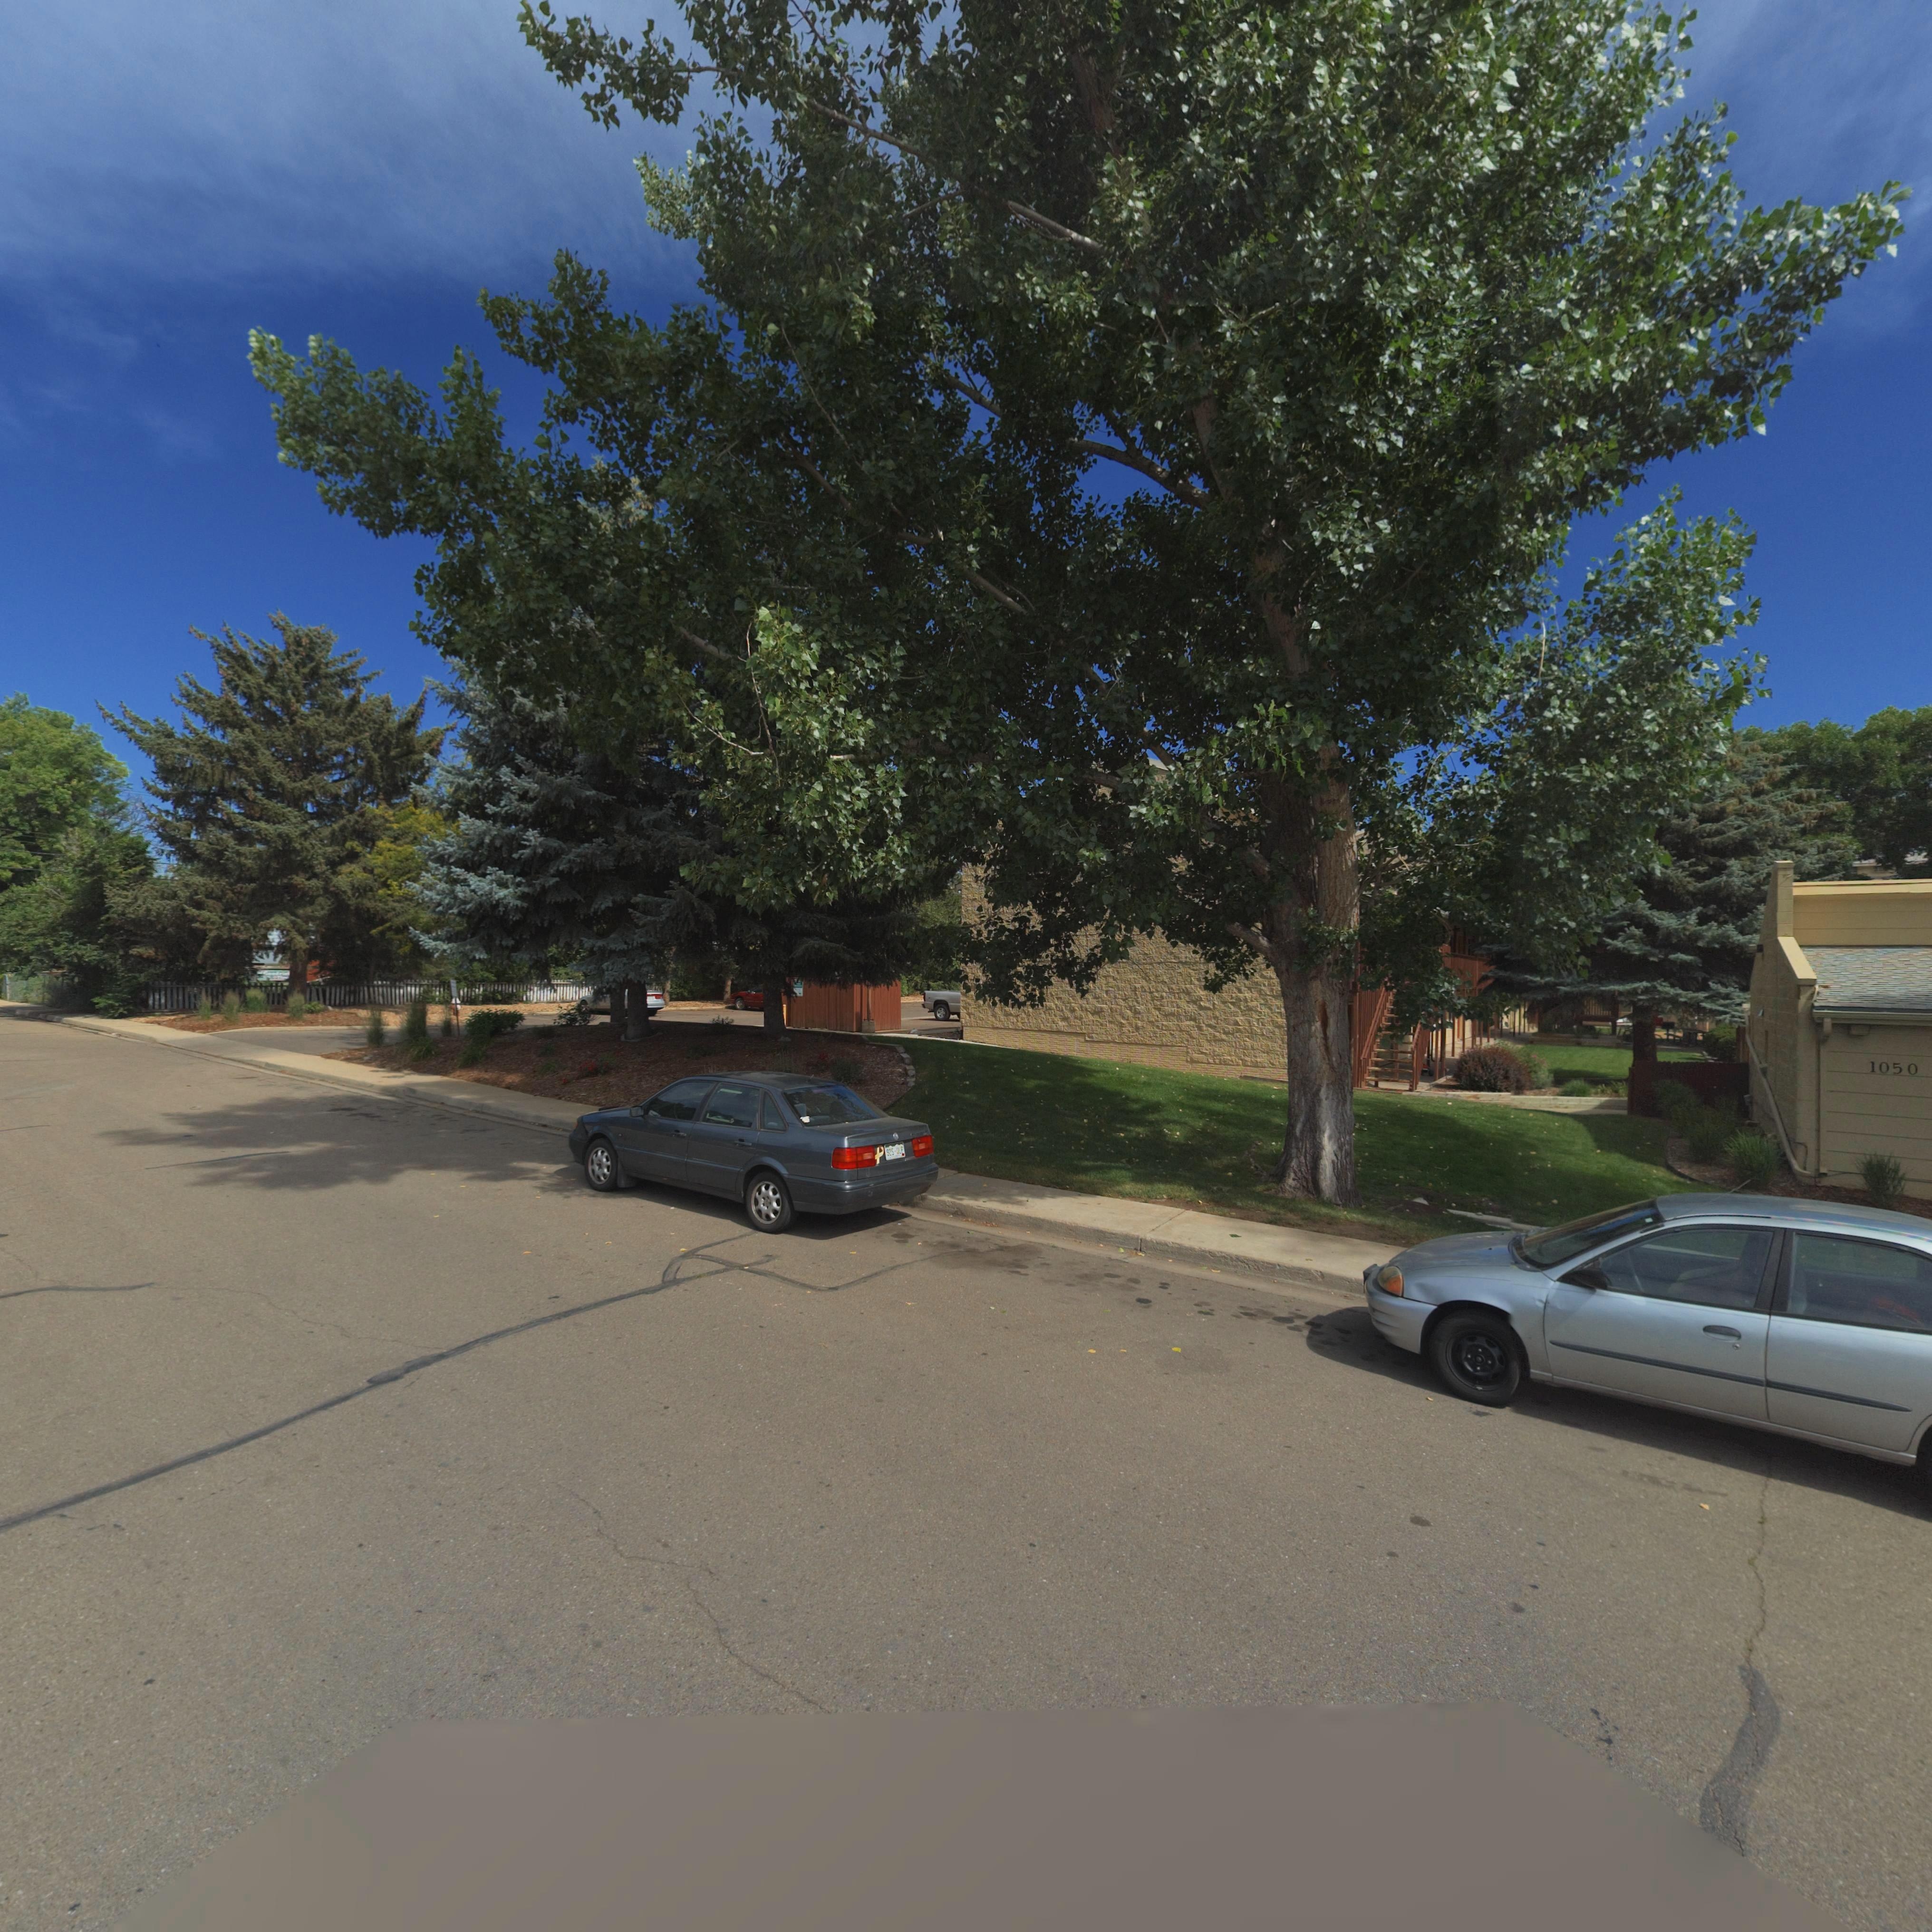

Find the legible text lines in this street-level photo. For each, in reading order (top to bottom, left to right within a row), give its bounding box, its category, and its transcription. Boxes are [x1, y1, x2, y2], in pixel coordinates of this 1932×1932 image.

[1868, 1060, 1918, 1076] StreetNumber: 1050